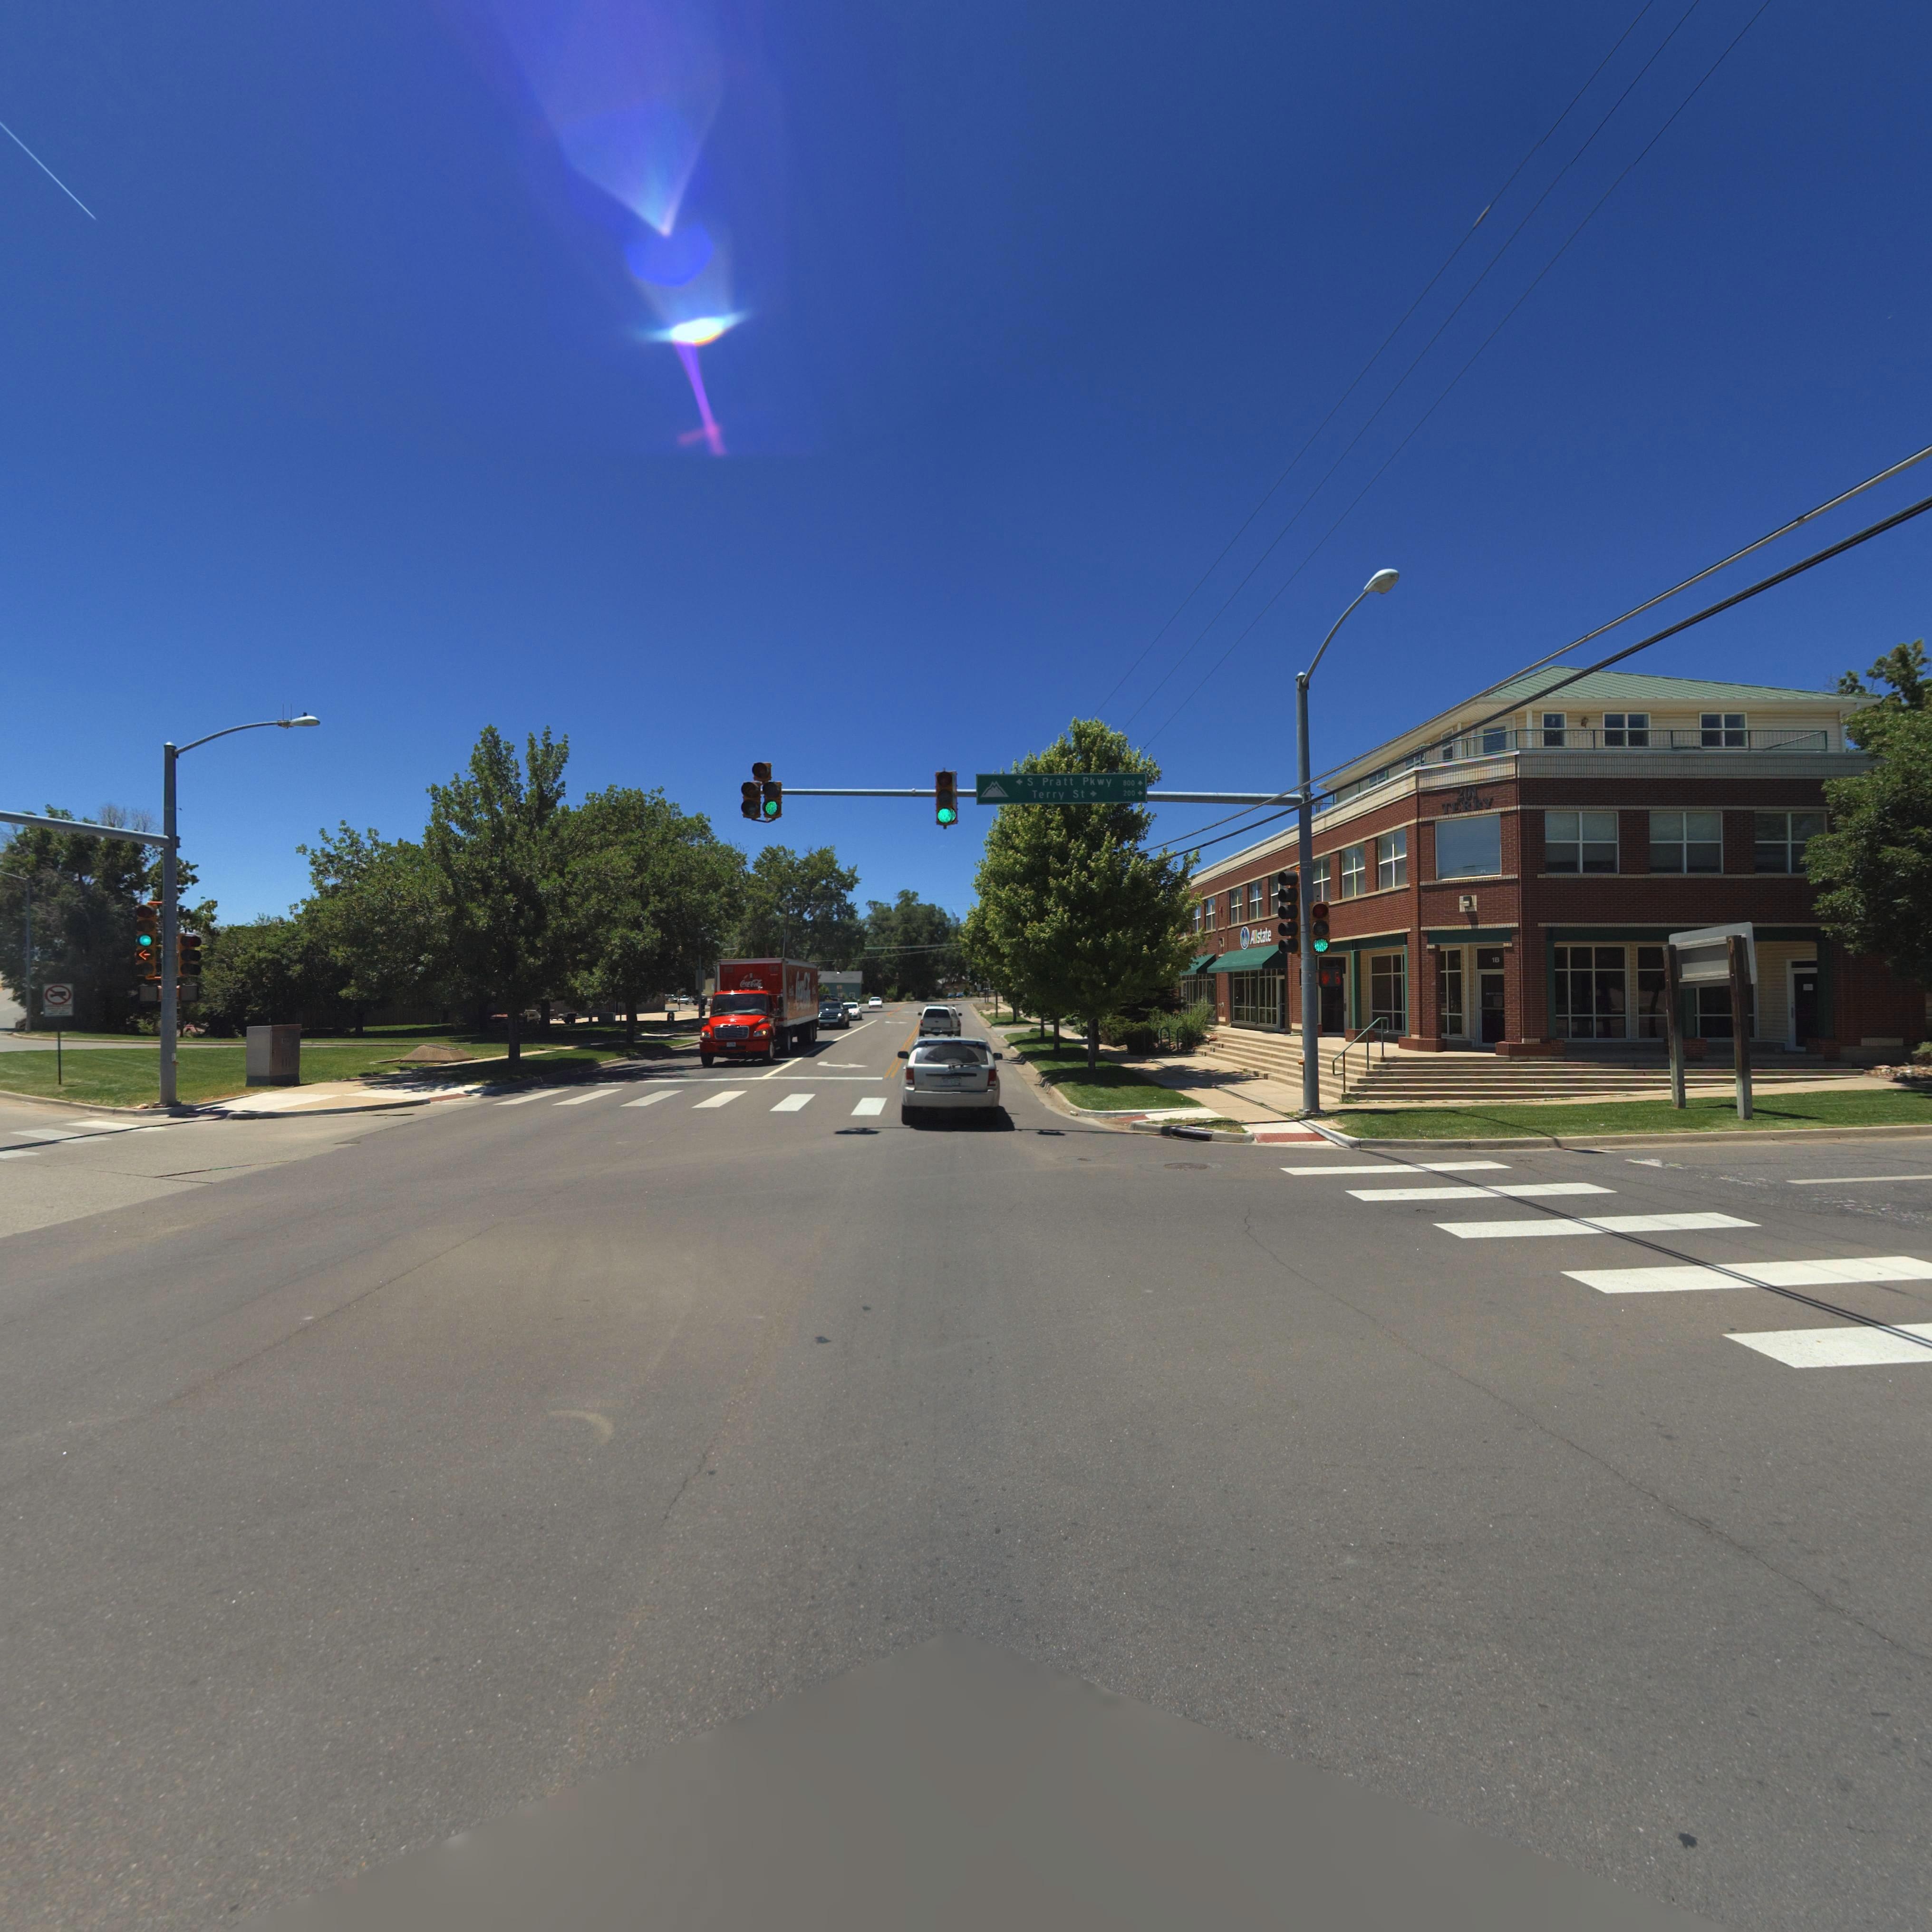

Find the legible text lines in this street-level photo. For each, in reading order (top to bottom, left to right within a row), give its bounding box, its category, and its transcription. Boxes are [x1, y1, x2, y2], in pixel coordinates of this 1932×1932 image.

[1027, 776, 1112, 787] StreetName: S Pratt Pkwy
[1123, 780, 1135, 786] StreetNumberRange: 800
[1032, 789, 1085, 801] StreetName: Terry St
[1123, 790, 1143, 796] StreetNumberRange: 200->
[1457, 785, 1477, 799] StreetNumber: 201
[1441, 796, 1493, 814] StreetName: TERRY
[1249, 927, 1271, 945] BusinessName: ALLSTATE
[1491, 956, 1500, 963] StreetNumber: 1B